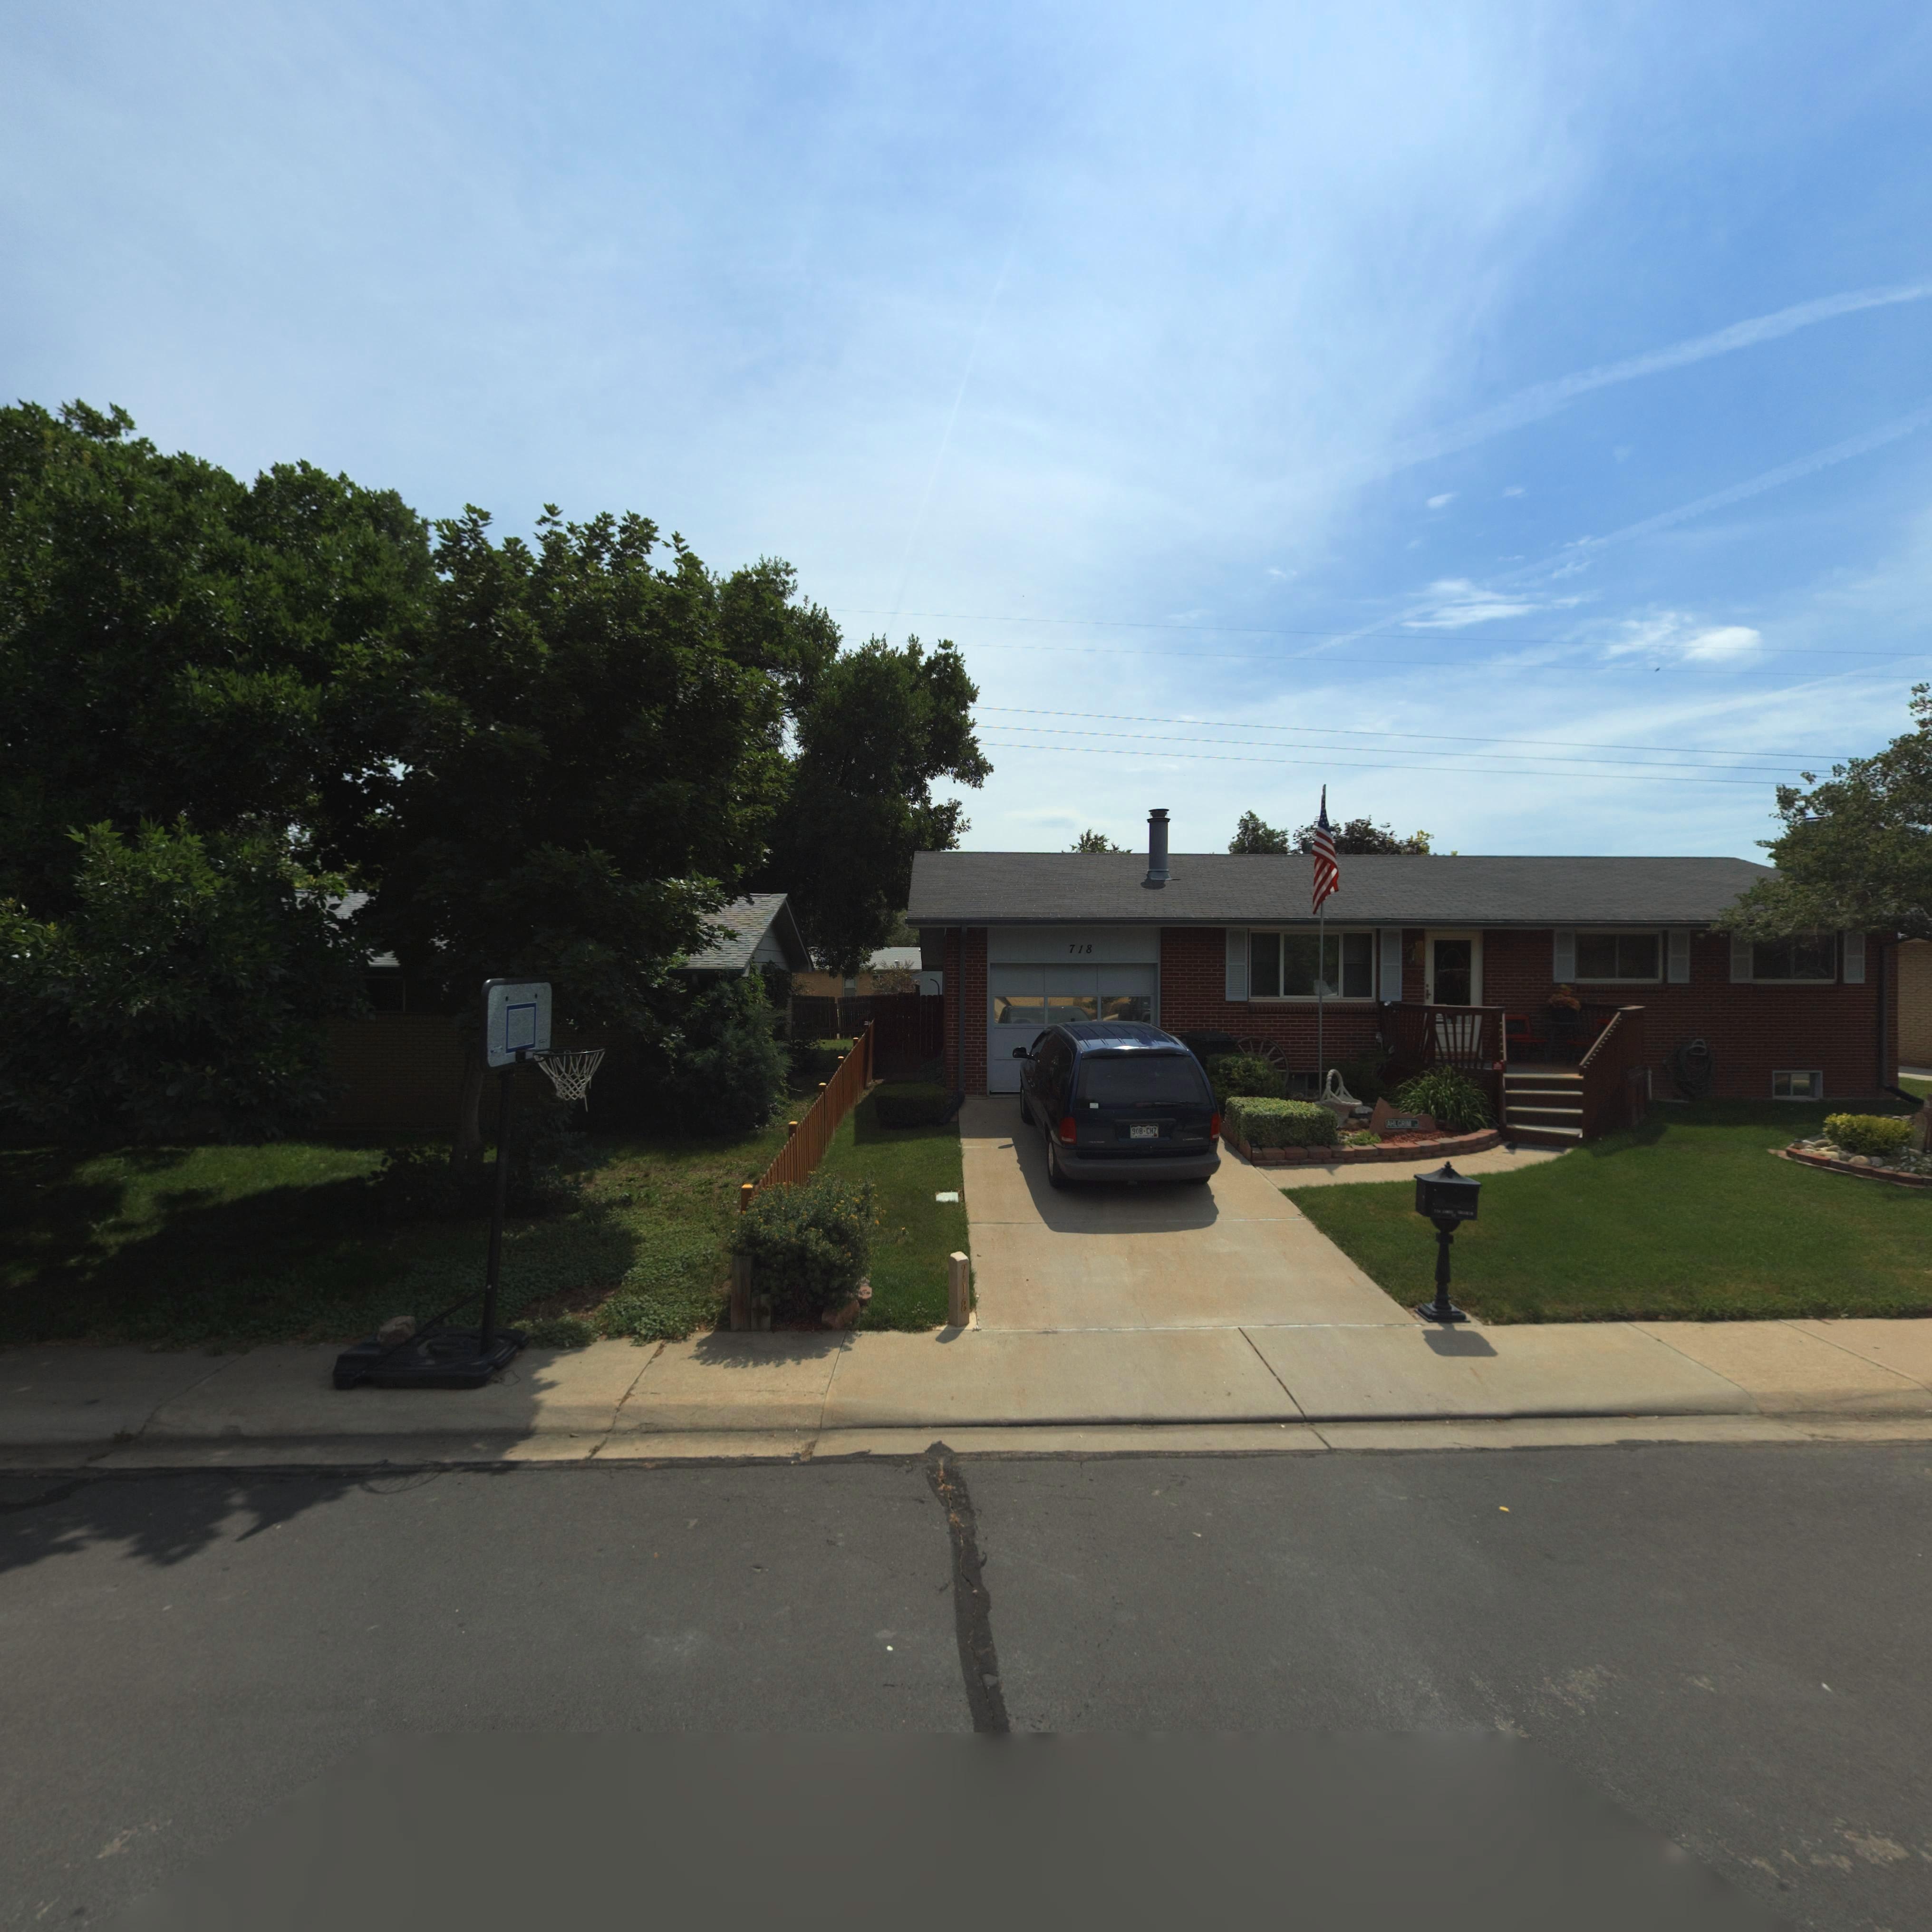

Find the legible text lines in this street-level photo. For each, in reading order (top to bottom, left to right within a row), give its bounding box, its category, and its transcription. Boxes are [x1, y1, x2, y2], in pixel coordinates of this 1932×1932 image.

[1069, 944, 1092, 954] StreetNumber: 718